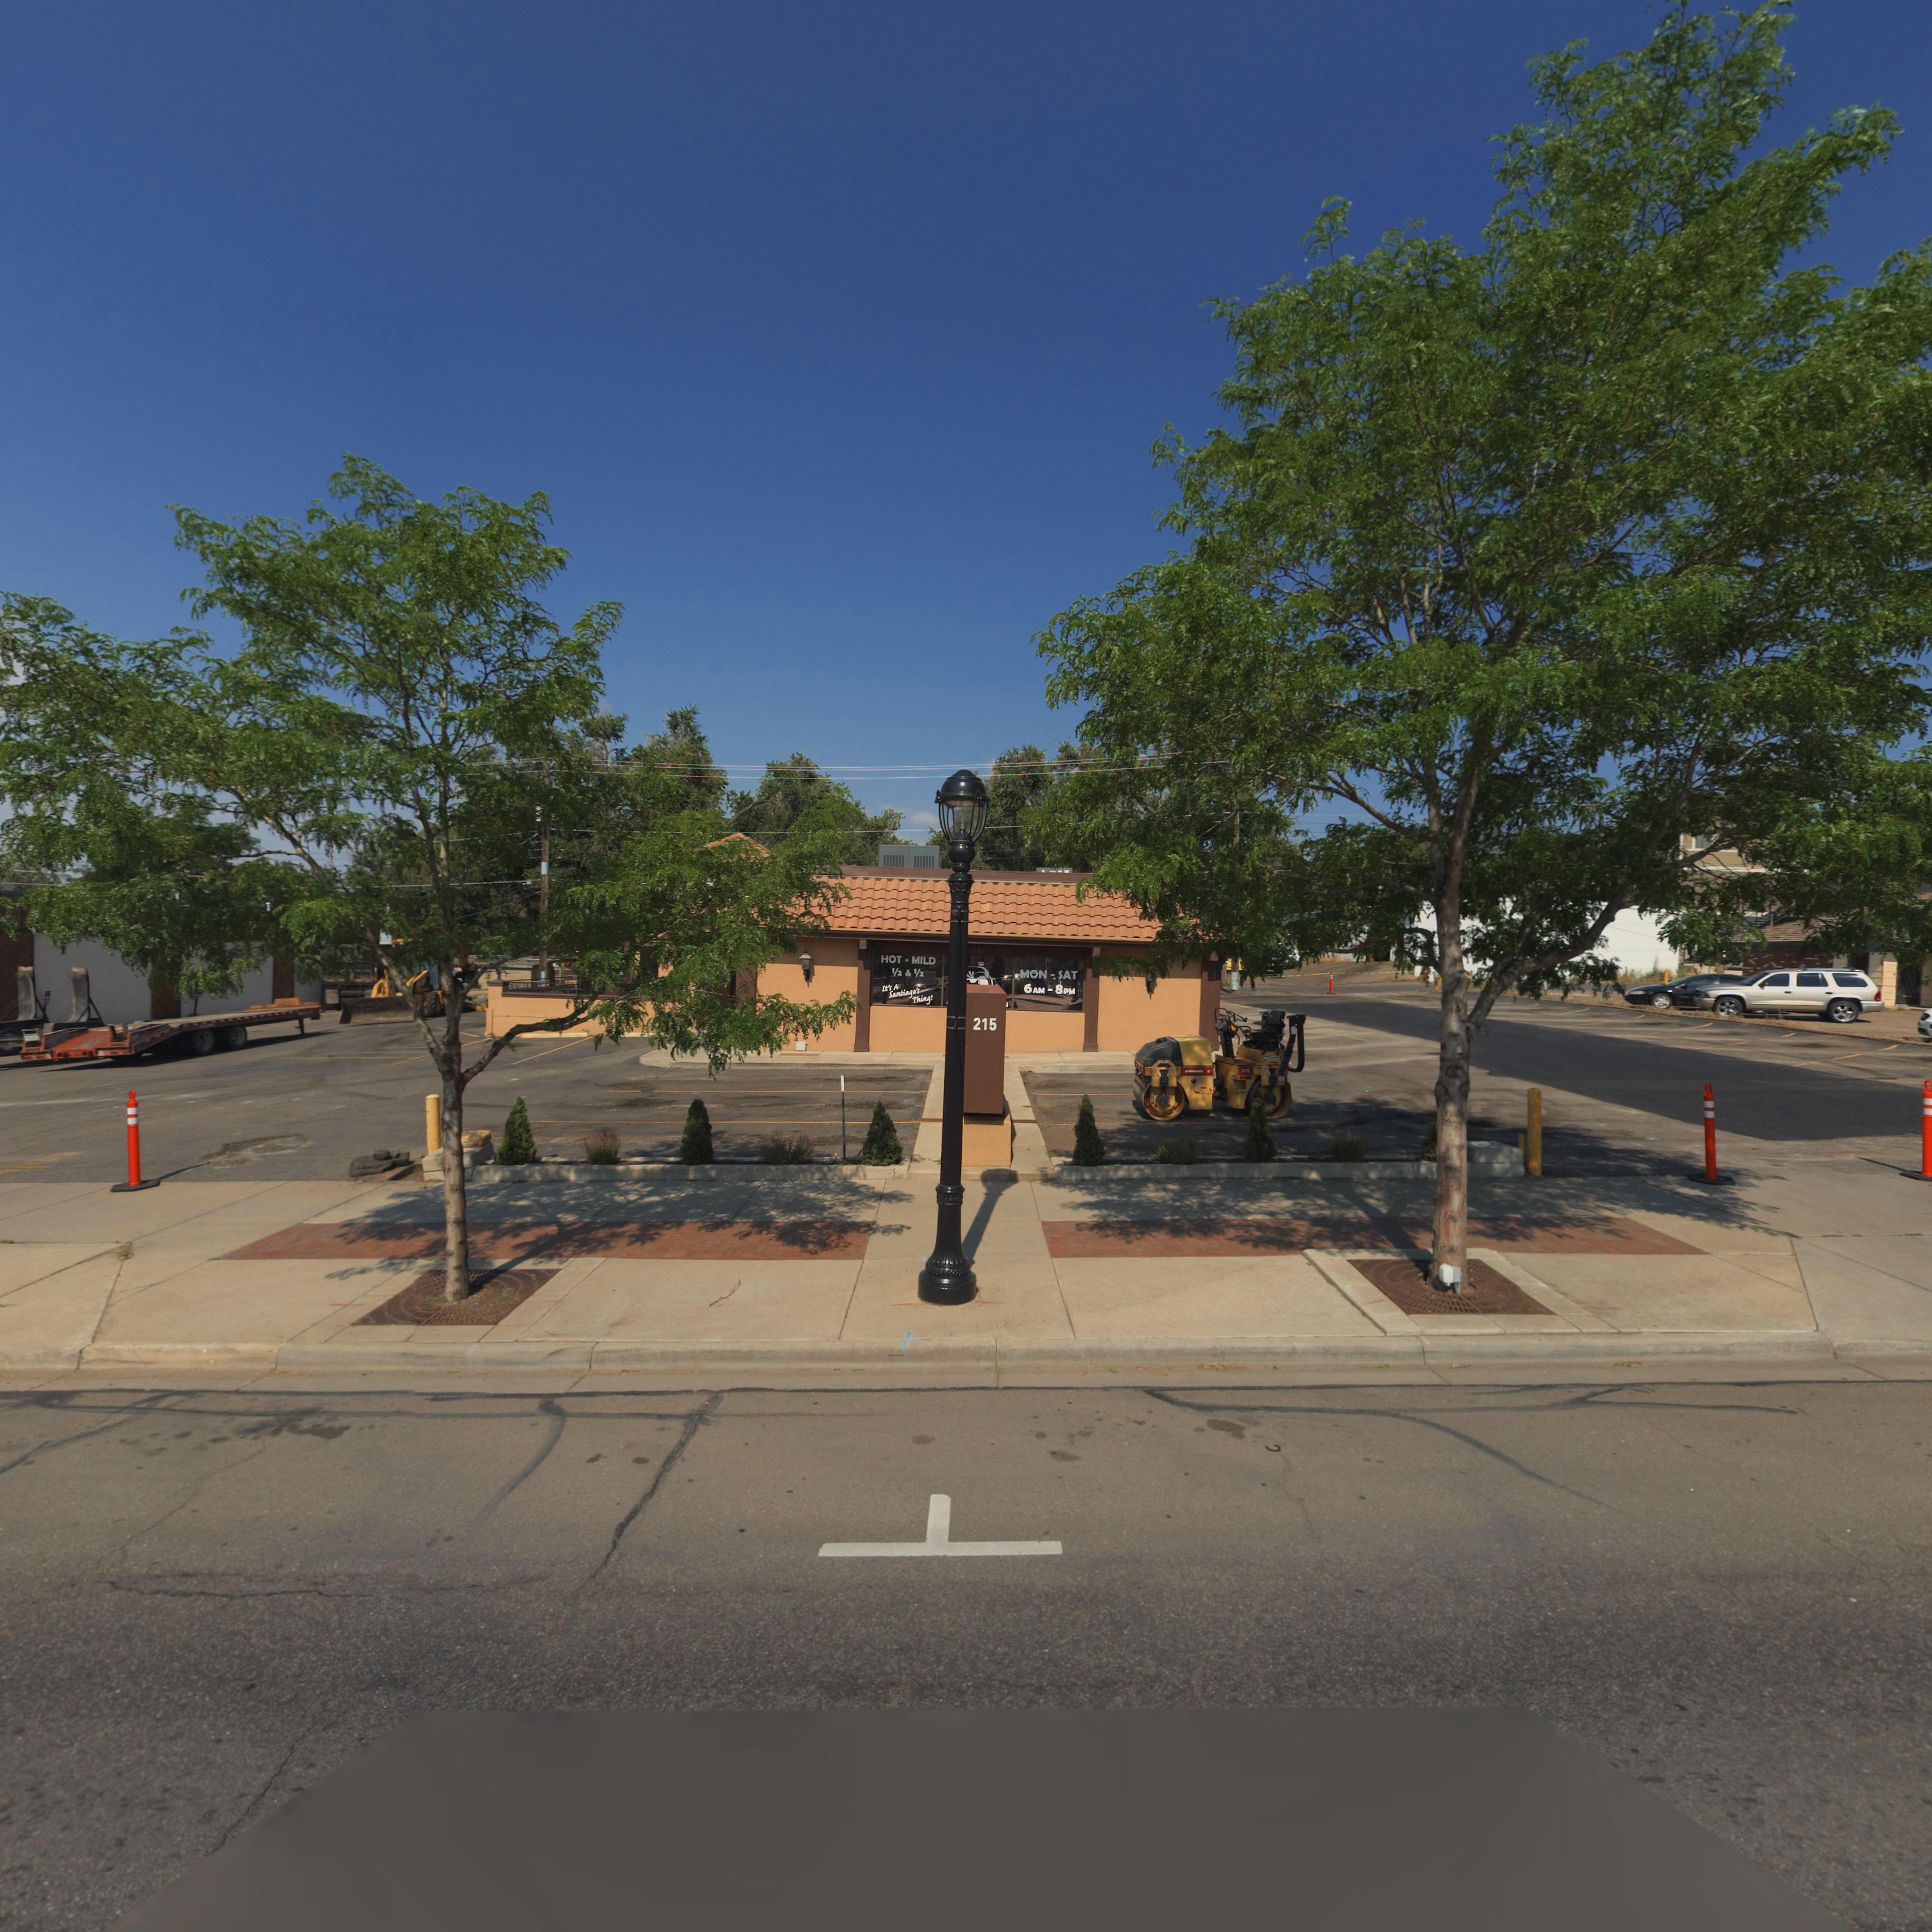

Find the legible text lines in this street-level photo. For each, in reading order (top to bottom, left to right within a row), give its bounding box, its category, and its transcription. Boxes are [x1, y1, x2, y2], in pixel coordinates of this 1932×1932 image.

[888, 986, 920, 998] BusinessName: Santiago's
[973, 1016, 997, 1031] StreetNumber: 215